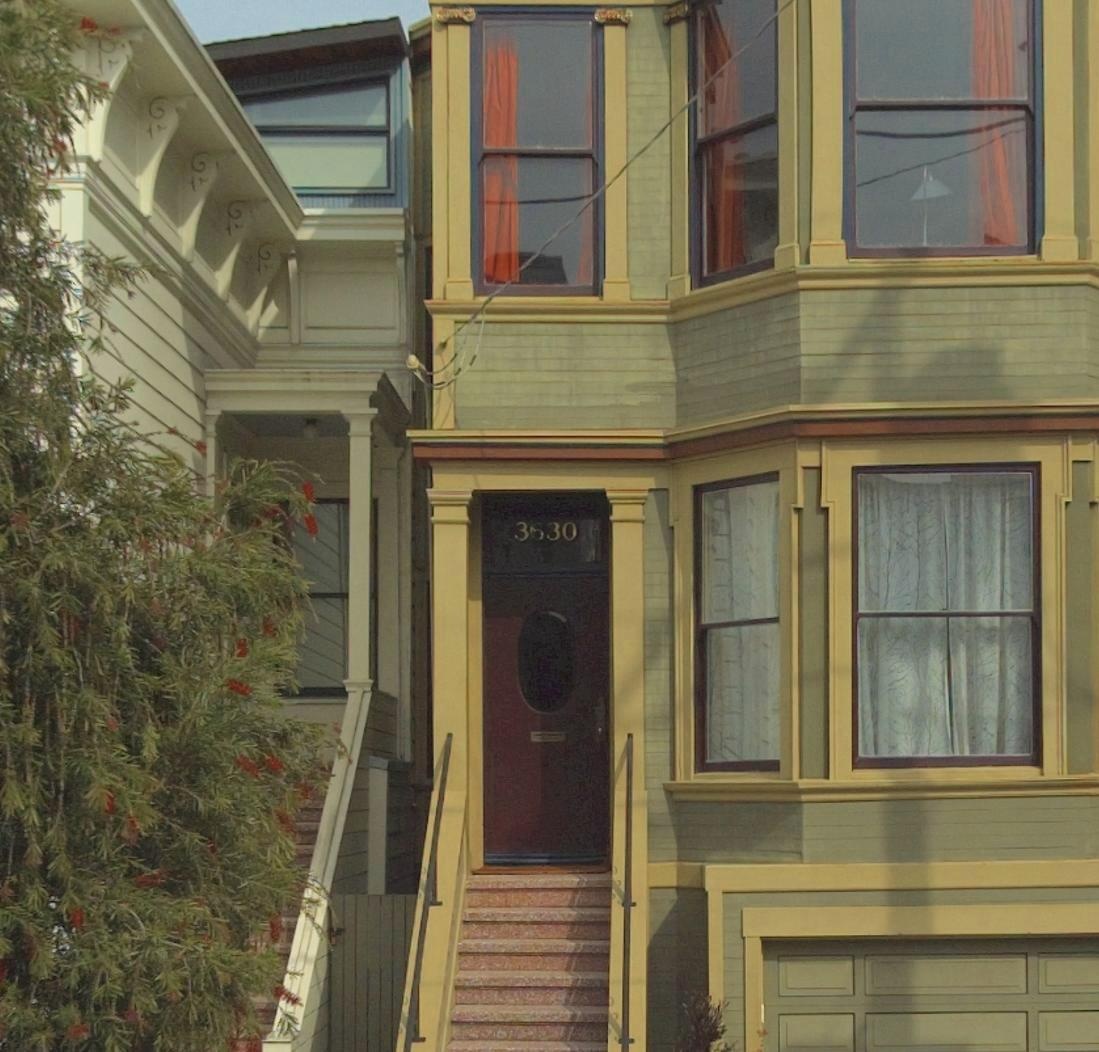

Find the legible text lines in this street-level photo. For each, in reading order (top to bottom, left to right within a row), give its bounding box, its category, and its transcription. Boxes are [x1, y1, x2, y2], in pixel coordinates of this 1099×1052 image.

[512, 519, 579, 542] StreetNumber: 3630